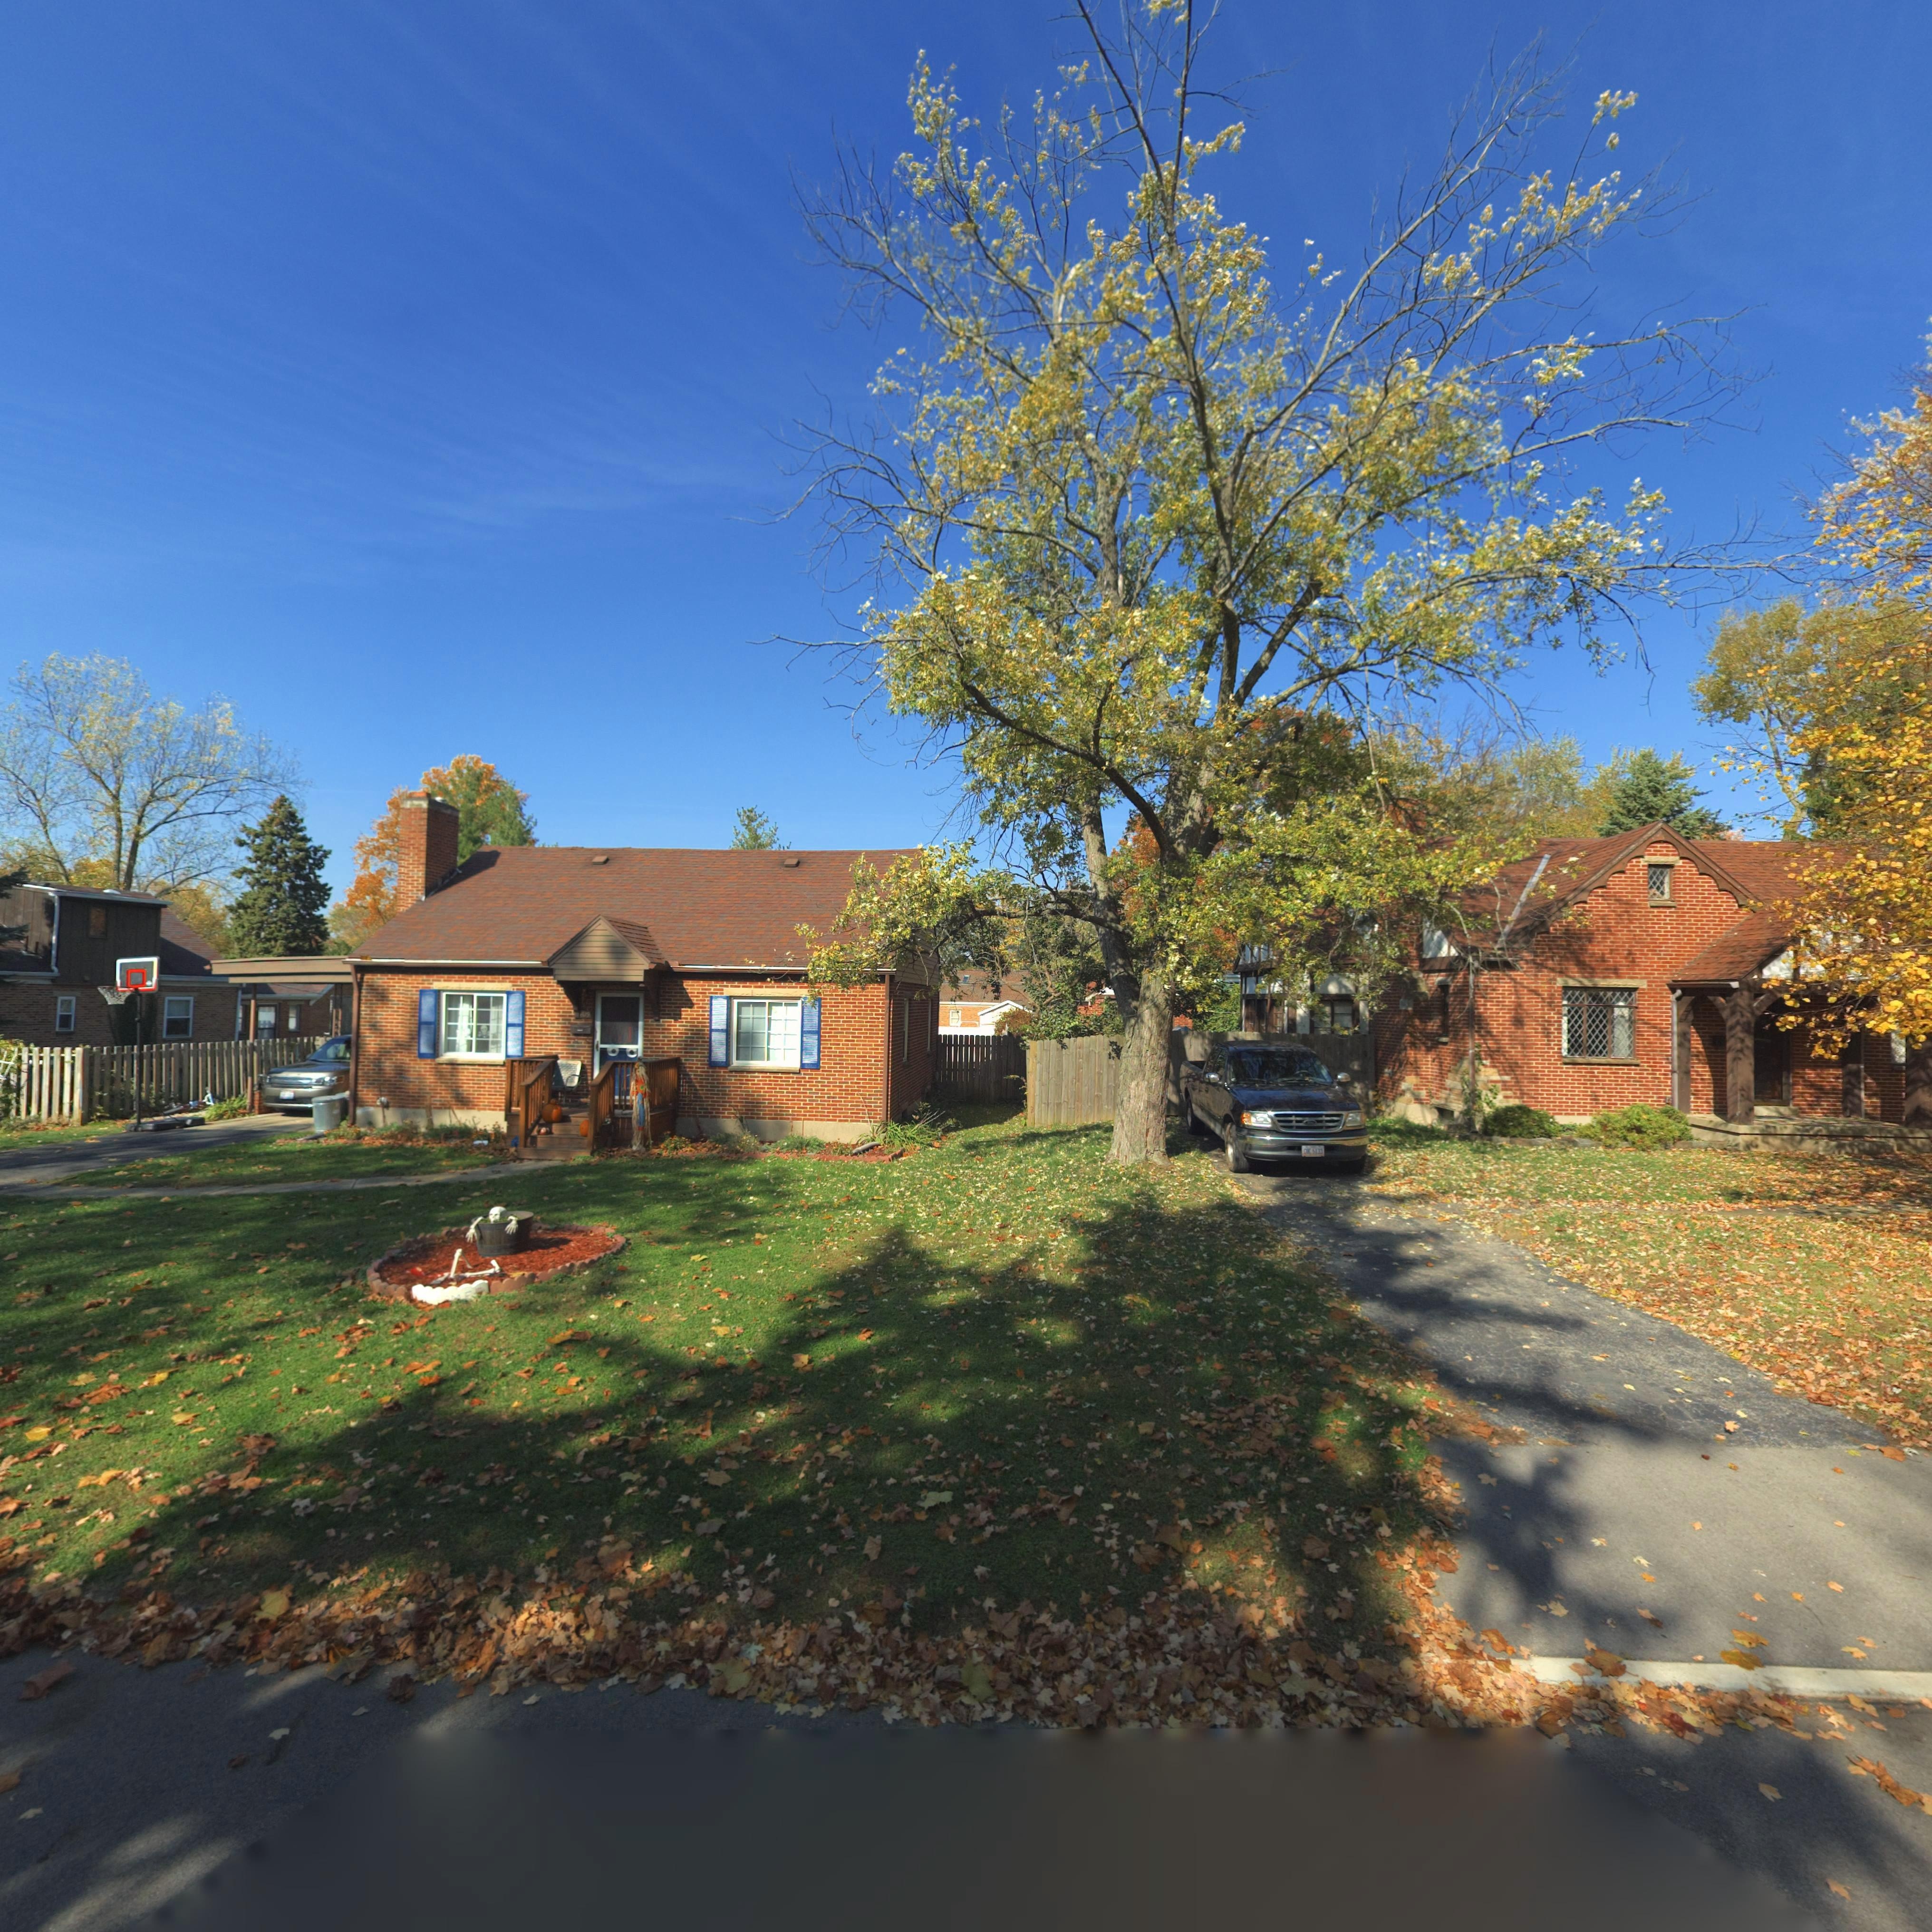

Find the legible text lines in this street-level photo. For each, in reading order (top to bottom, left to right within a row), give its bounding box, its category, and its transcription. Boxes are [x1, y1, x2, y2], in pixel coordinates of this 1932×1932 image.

[580, 1011, 590, 1017] StreetNumber: *05
[1303, 1148, 1323, 1155] None: C*C*5133